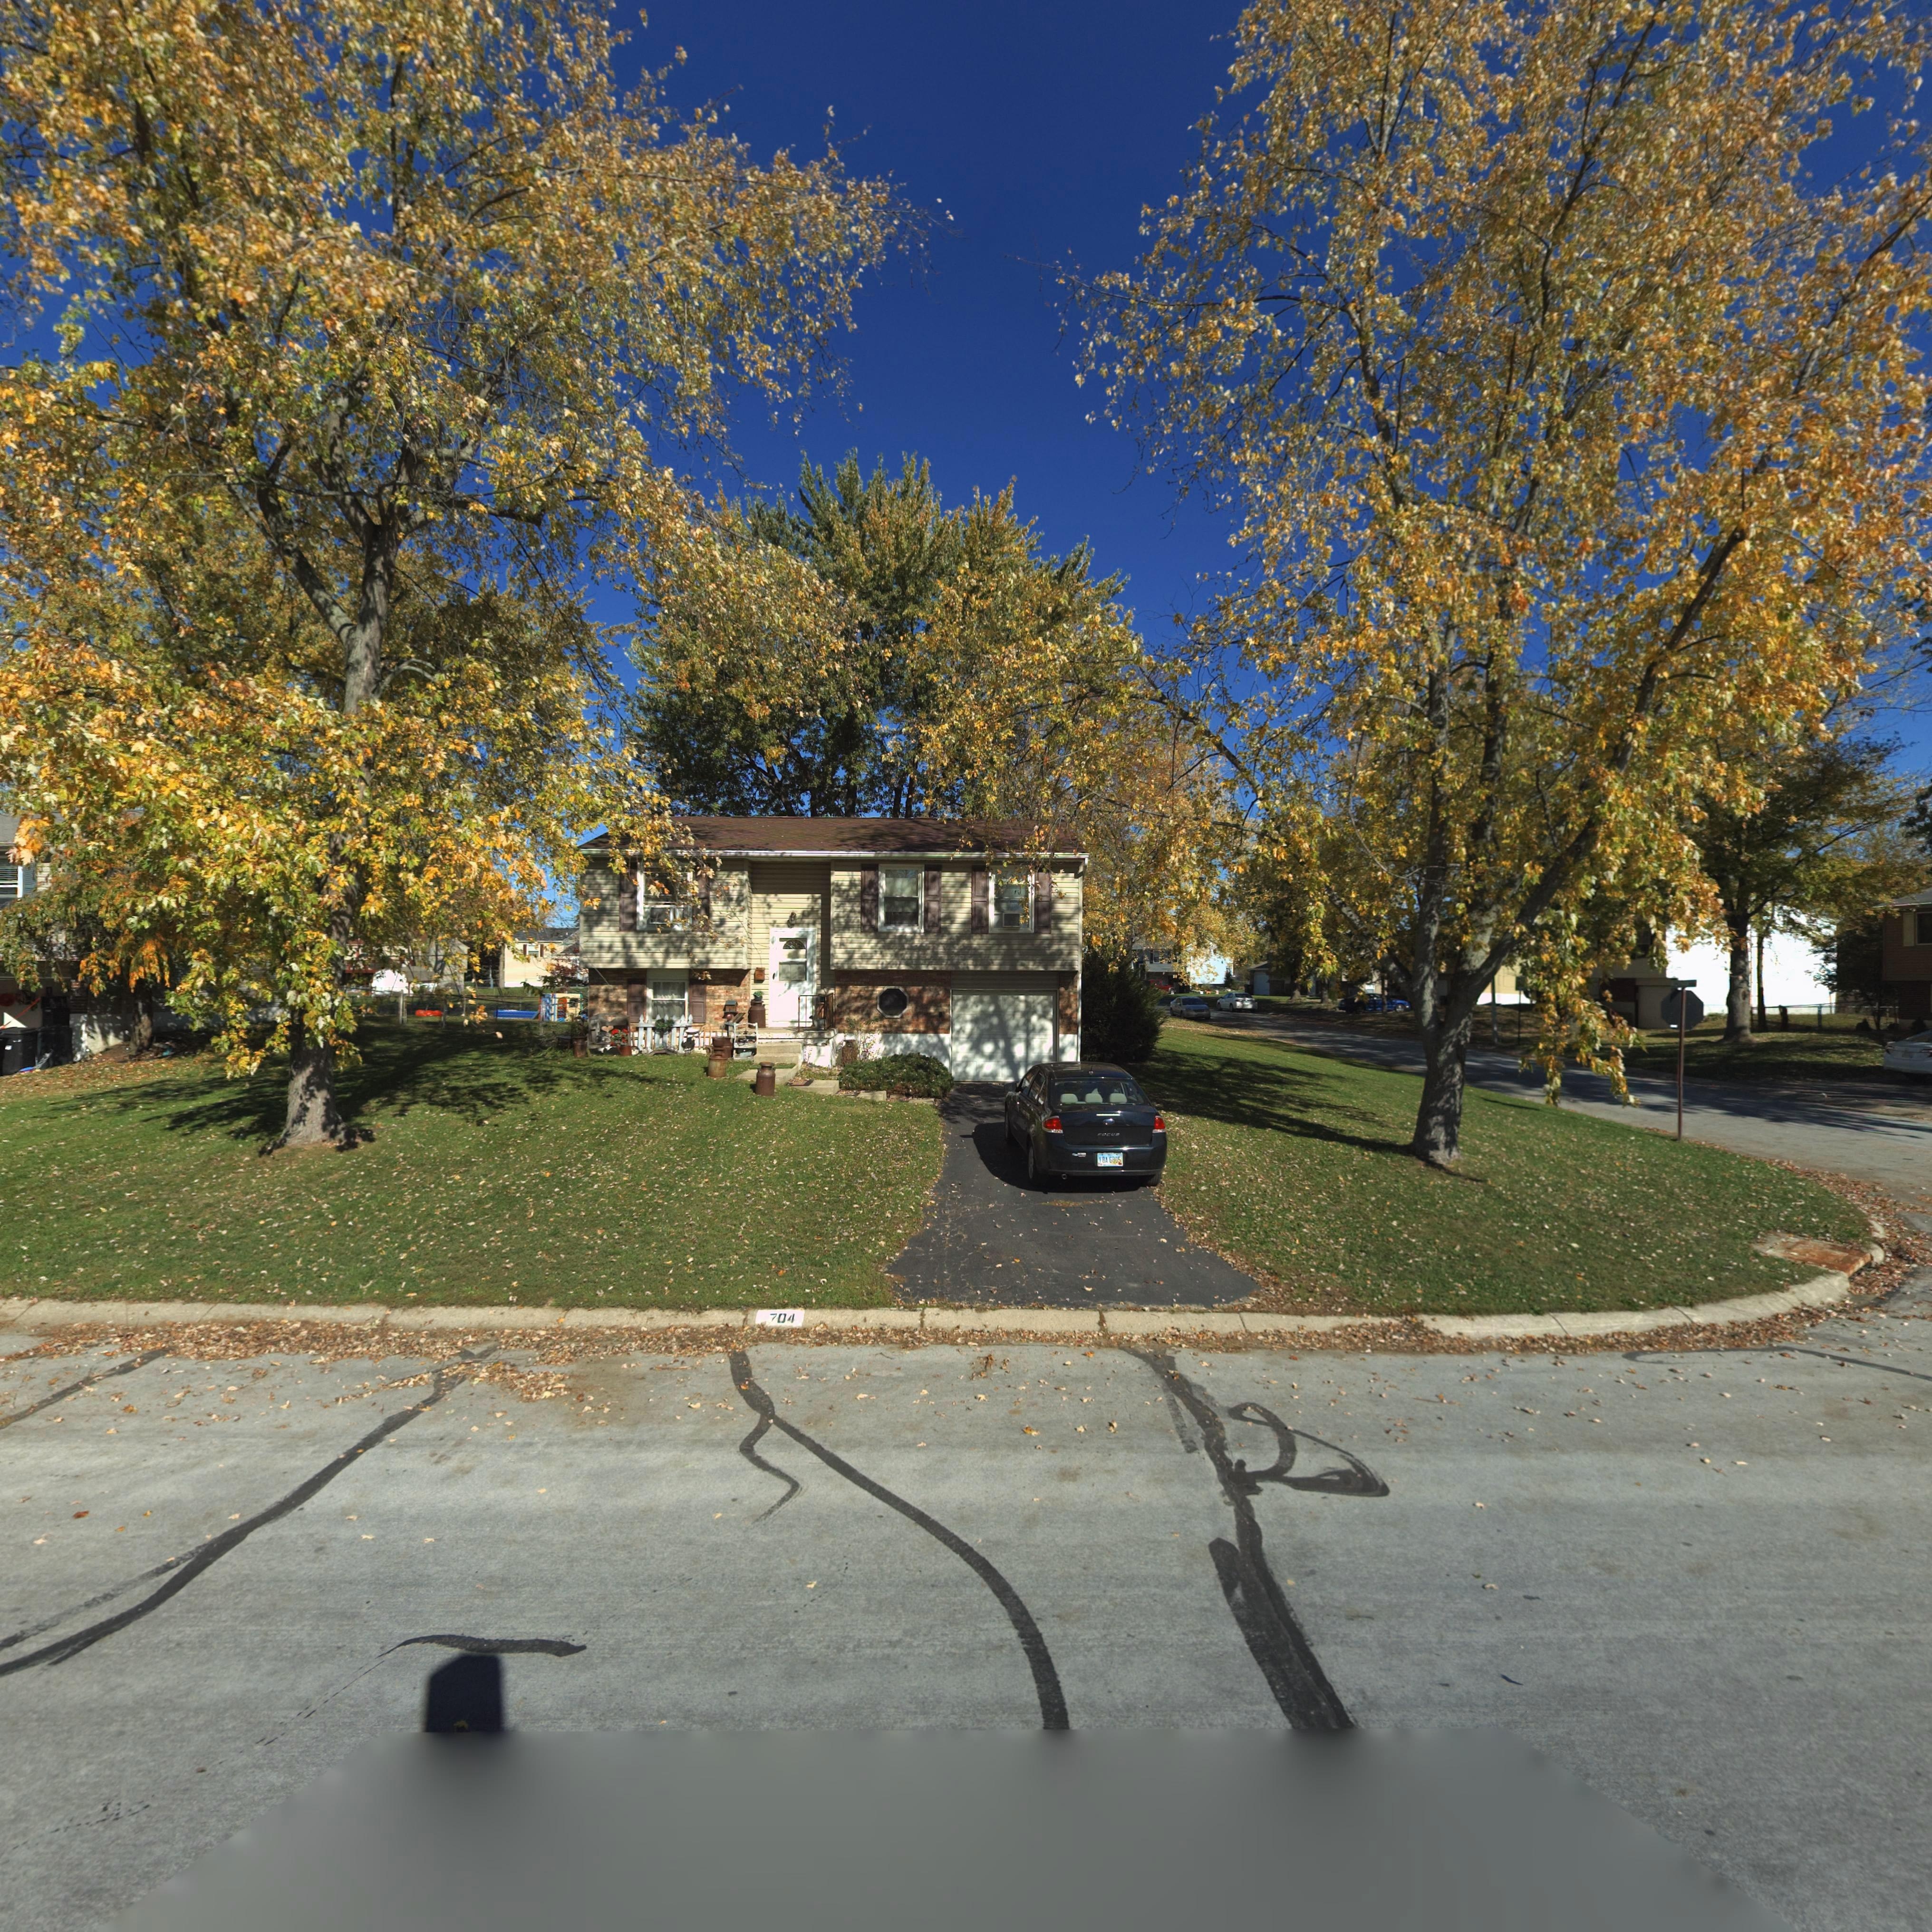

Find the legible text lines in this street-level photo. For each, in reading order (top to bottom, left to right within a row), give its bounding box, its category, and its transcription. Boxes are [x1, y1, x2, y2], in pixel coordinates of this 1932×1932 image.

[1096, 1131, 1121, 1137] None: *OCUS
[1098, 1154, 1121, 1164] None: *BA 6805
[770, 1313, 796, 1323] StreetNumber: 704